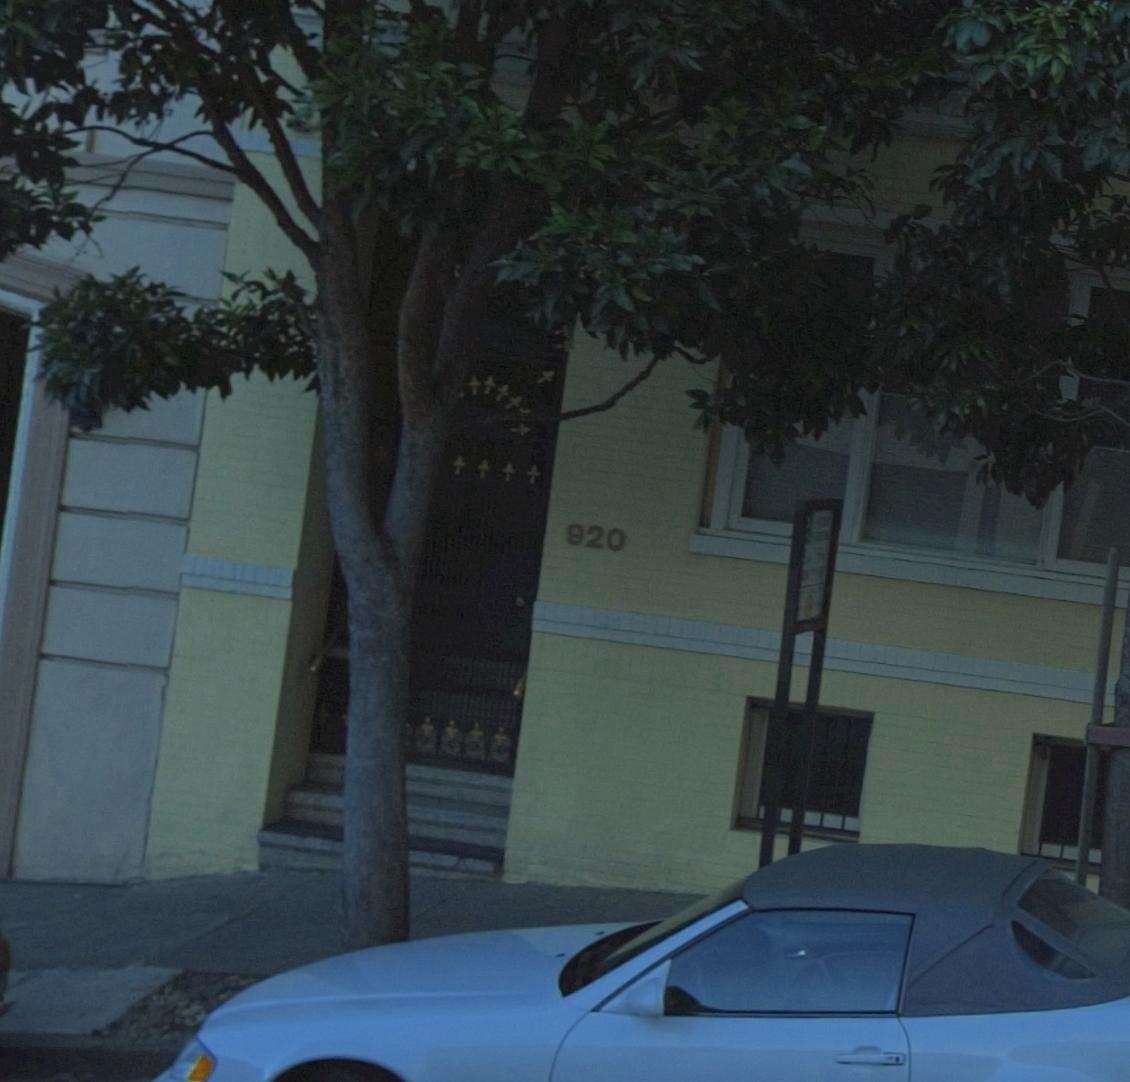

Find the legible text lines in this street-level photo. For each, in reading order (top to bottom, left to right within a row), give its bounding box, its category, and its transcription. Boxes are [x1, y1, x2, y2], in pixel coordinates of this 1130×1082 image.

[560, 518, 629, 555] StreetNumber: 920